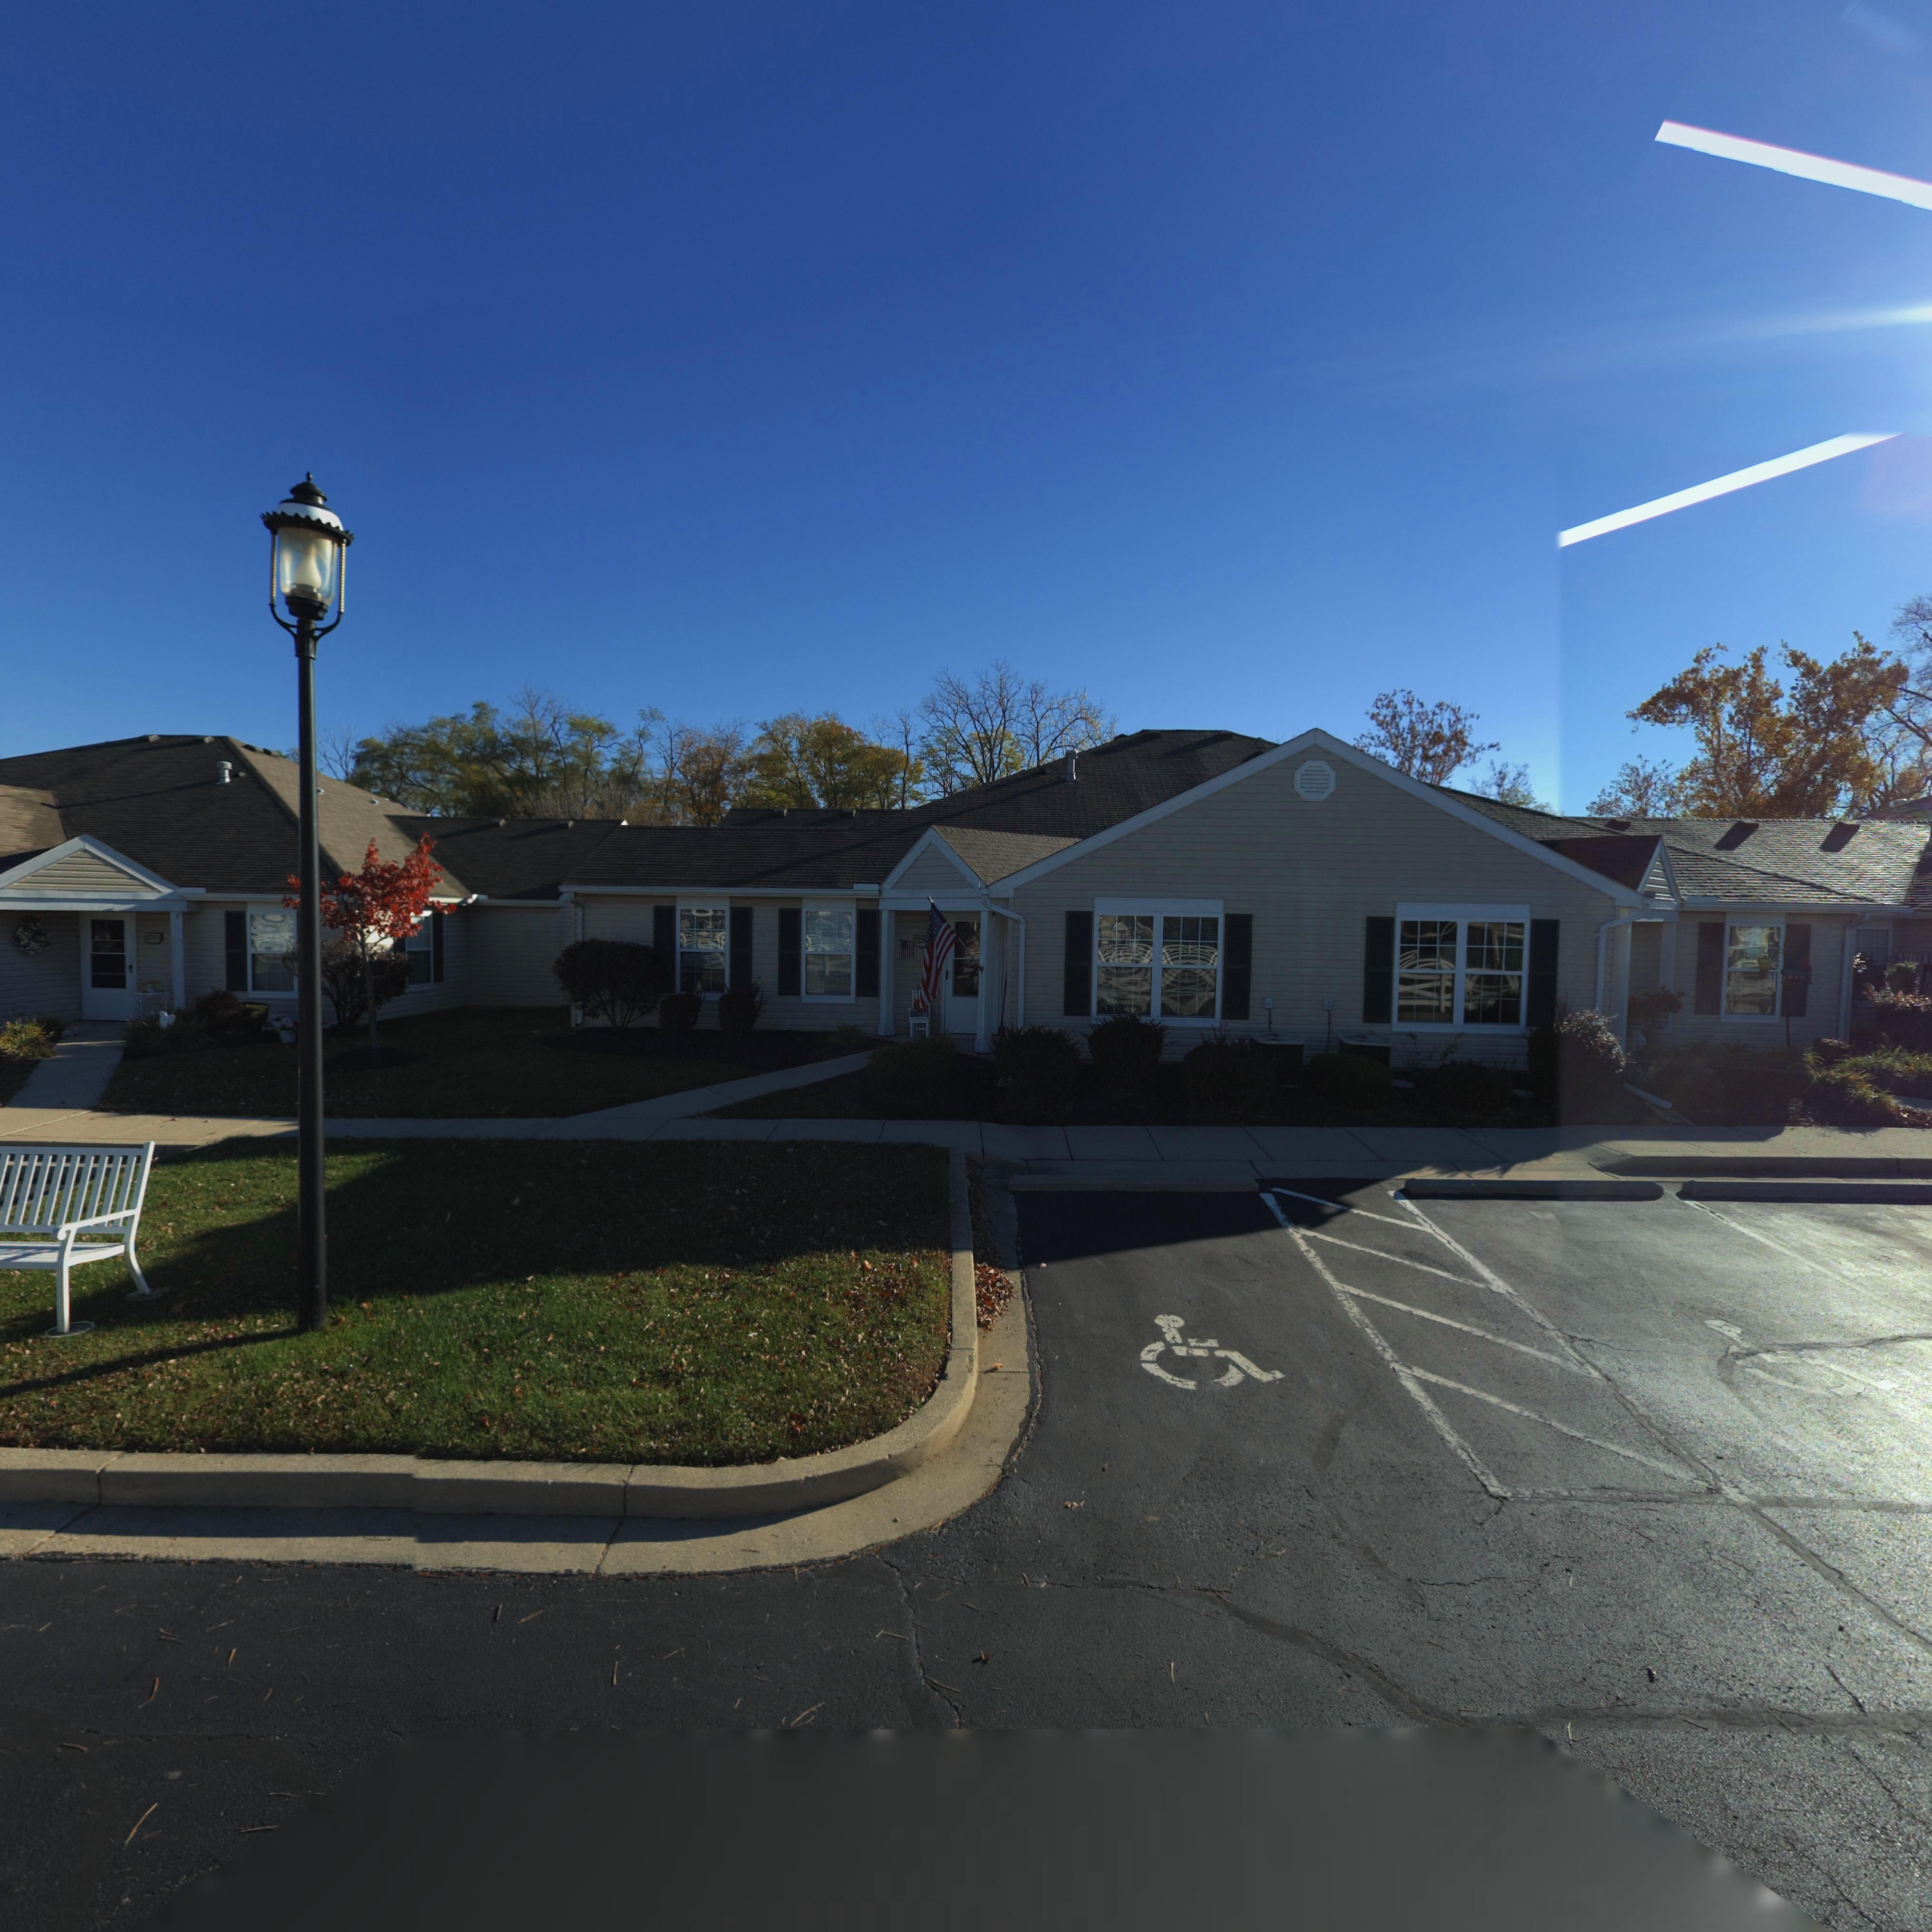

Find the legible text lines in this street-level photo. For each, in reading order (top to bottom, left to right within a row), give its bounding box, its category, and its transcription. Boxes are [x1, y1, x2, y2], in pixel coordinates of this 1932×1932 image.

[915, 937, 927, 945] StreetNumber: 5276